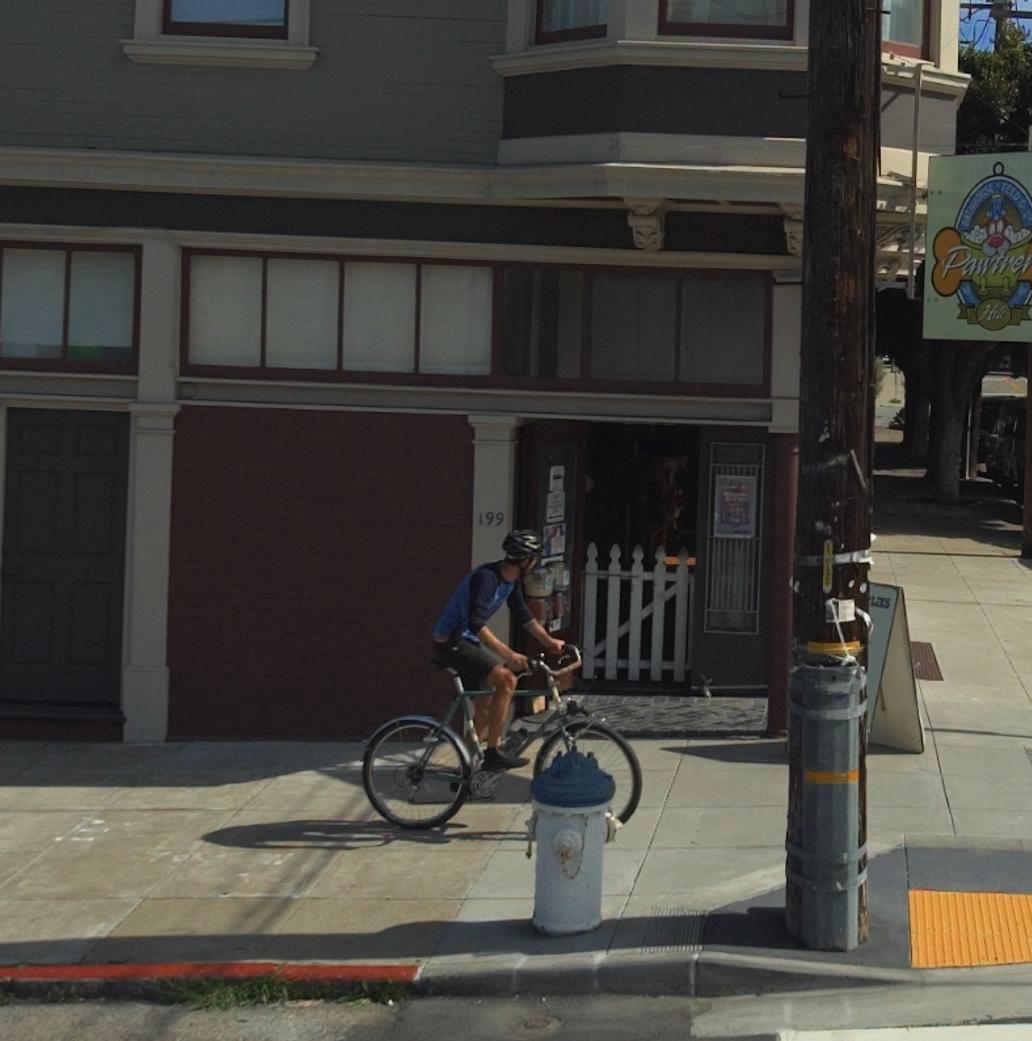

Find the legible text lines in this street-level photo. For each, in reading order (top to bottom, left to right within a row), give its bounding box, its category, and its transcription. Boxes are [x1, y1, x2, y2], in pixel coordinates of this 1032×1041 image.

[999, 178, 1024, 203] None: FEED
[940, 243, 1029, 280] BusinessName: Pawtre
[977, 302, 1010, 322] BusinessName: Hill
[476, 509, 508, 527] StreetNumber: 199
[869, 593, 893, 610] None: LIES